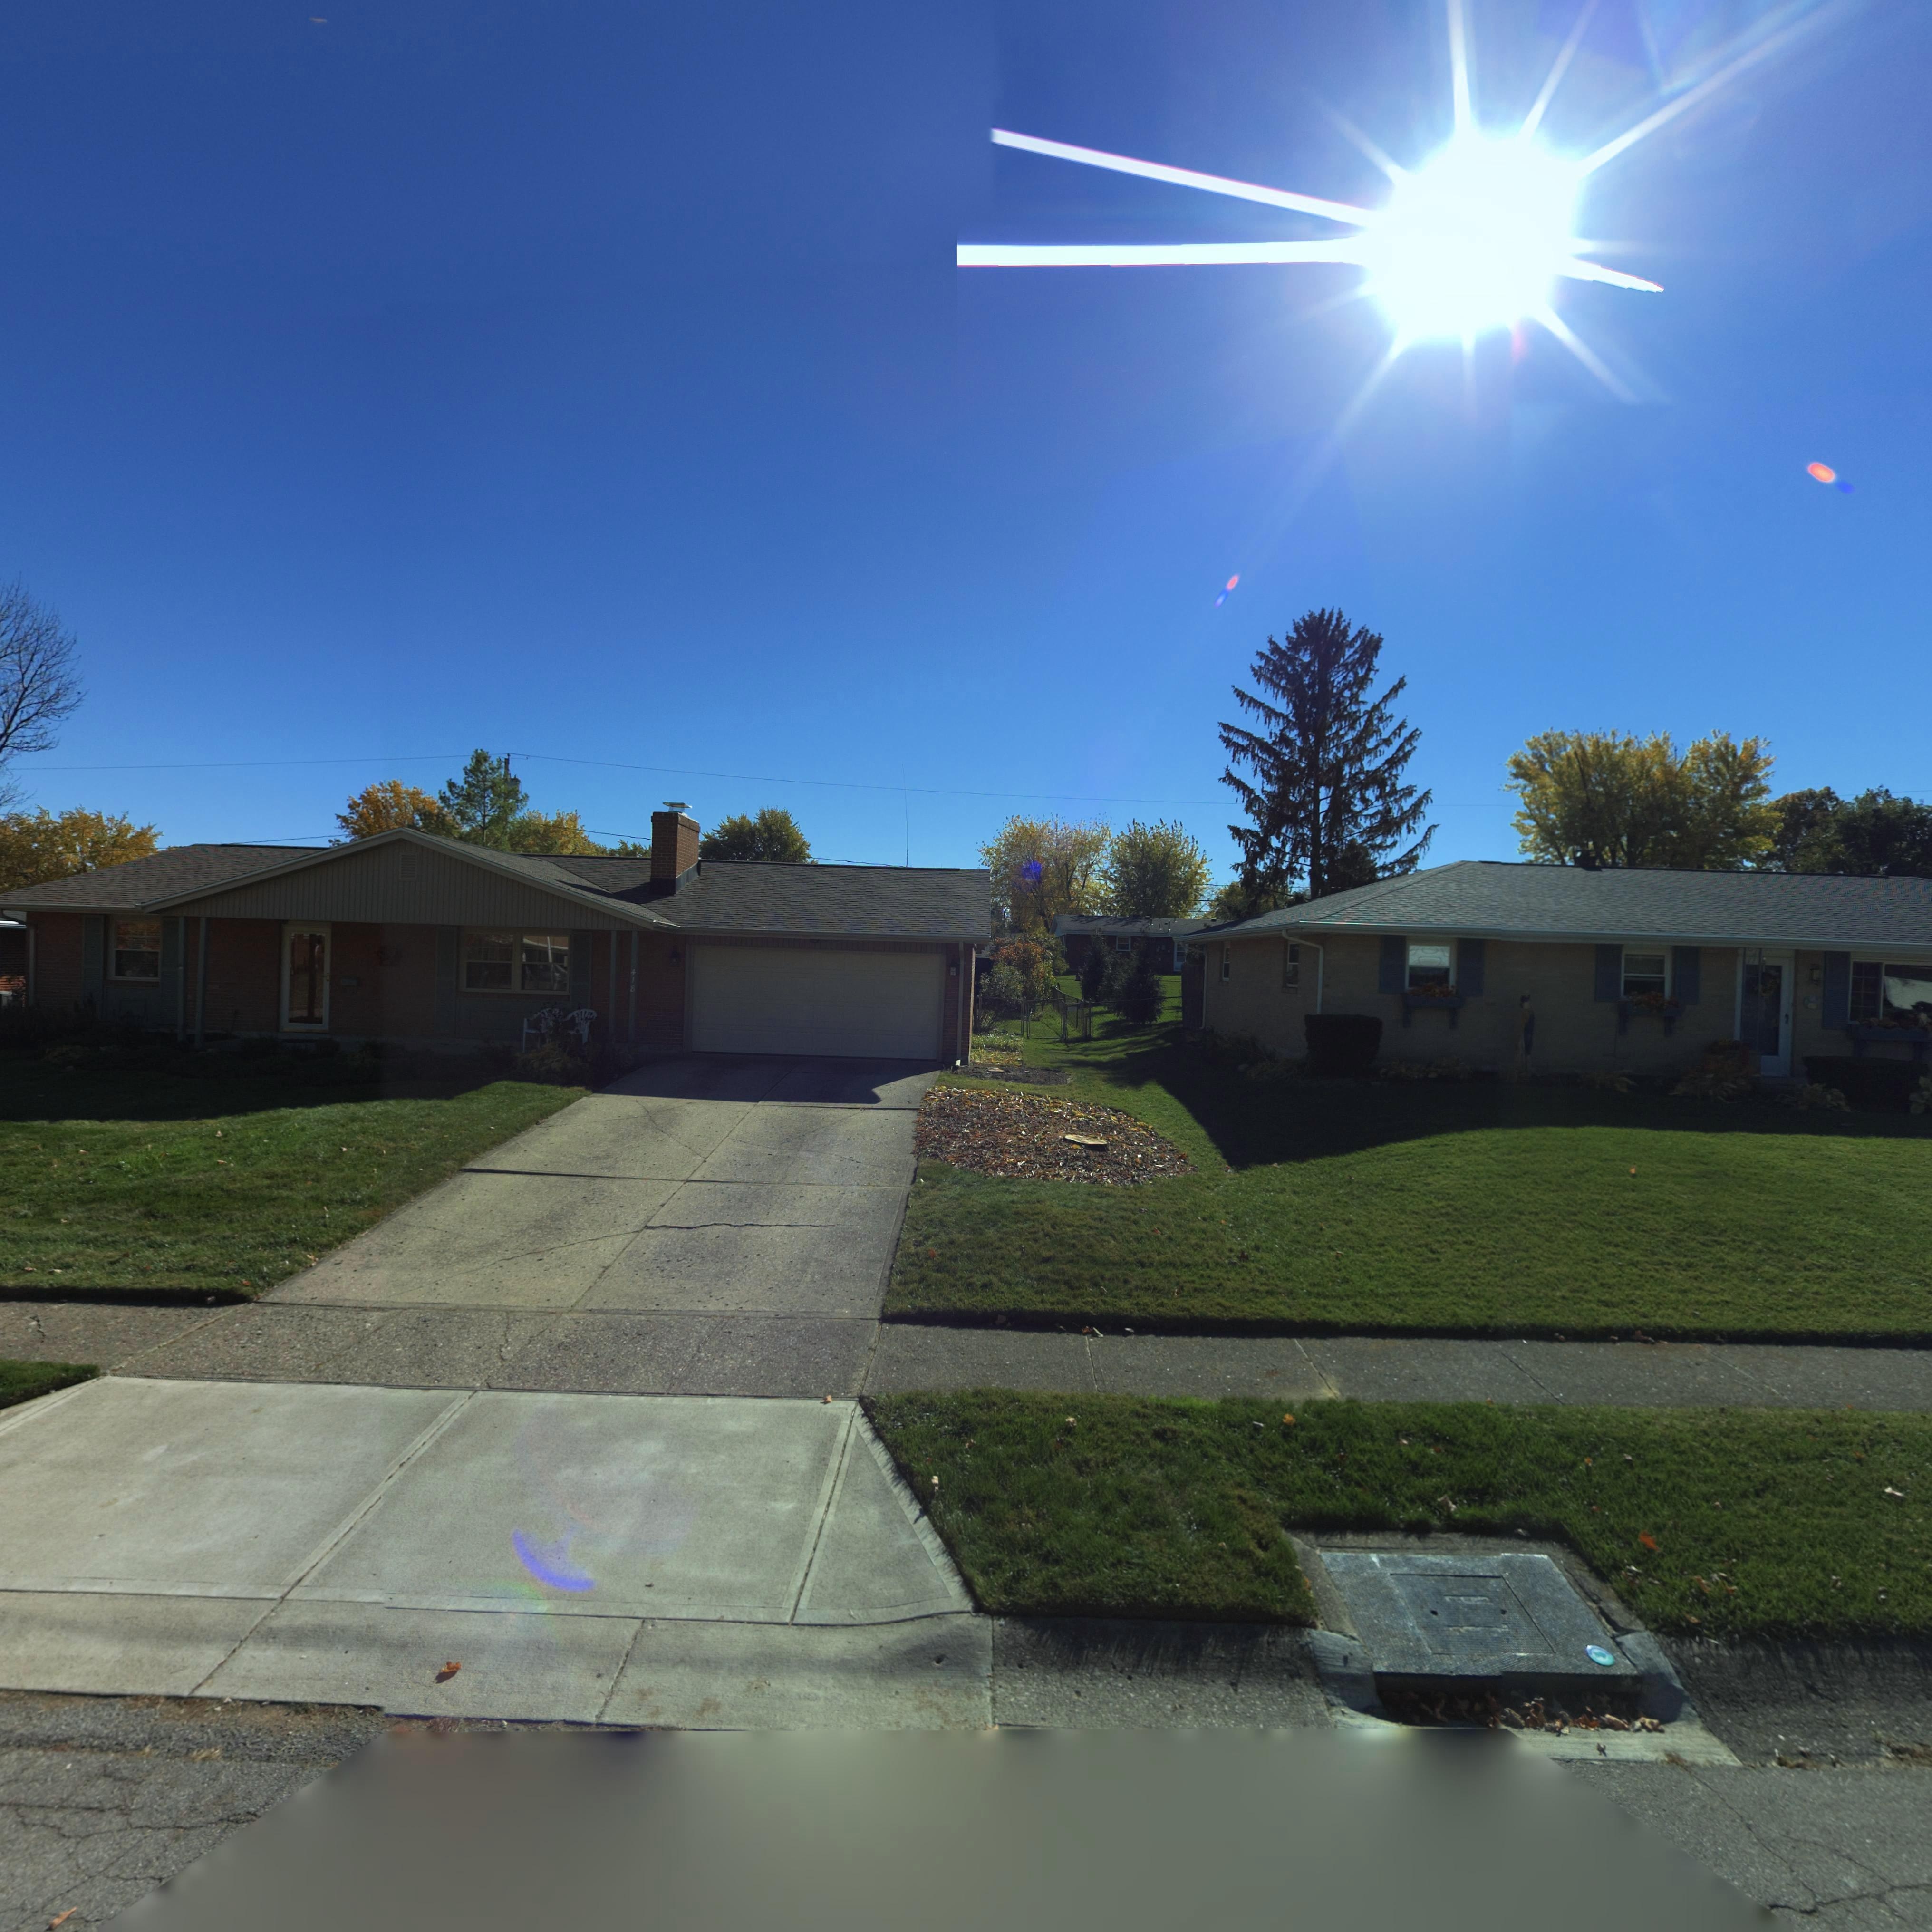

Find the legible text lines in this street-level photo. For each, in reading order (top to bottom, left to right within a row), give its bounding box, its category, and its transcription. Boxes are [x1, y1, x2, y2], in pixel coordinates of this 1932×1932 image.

[629, 967, 637, 993] StreetNumber: 418